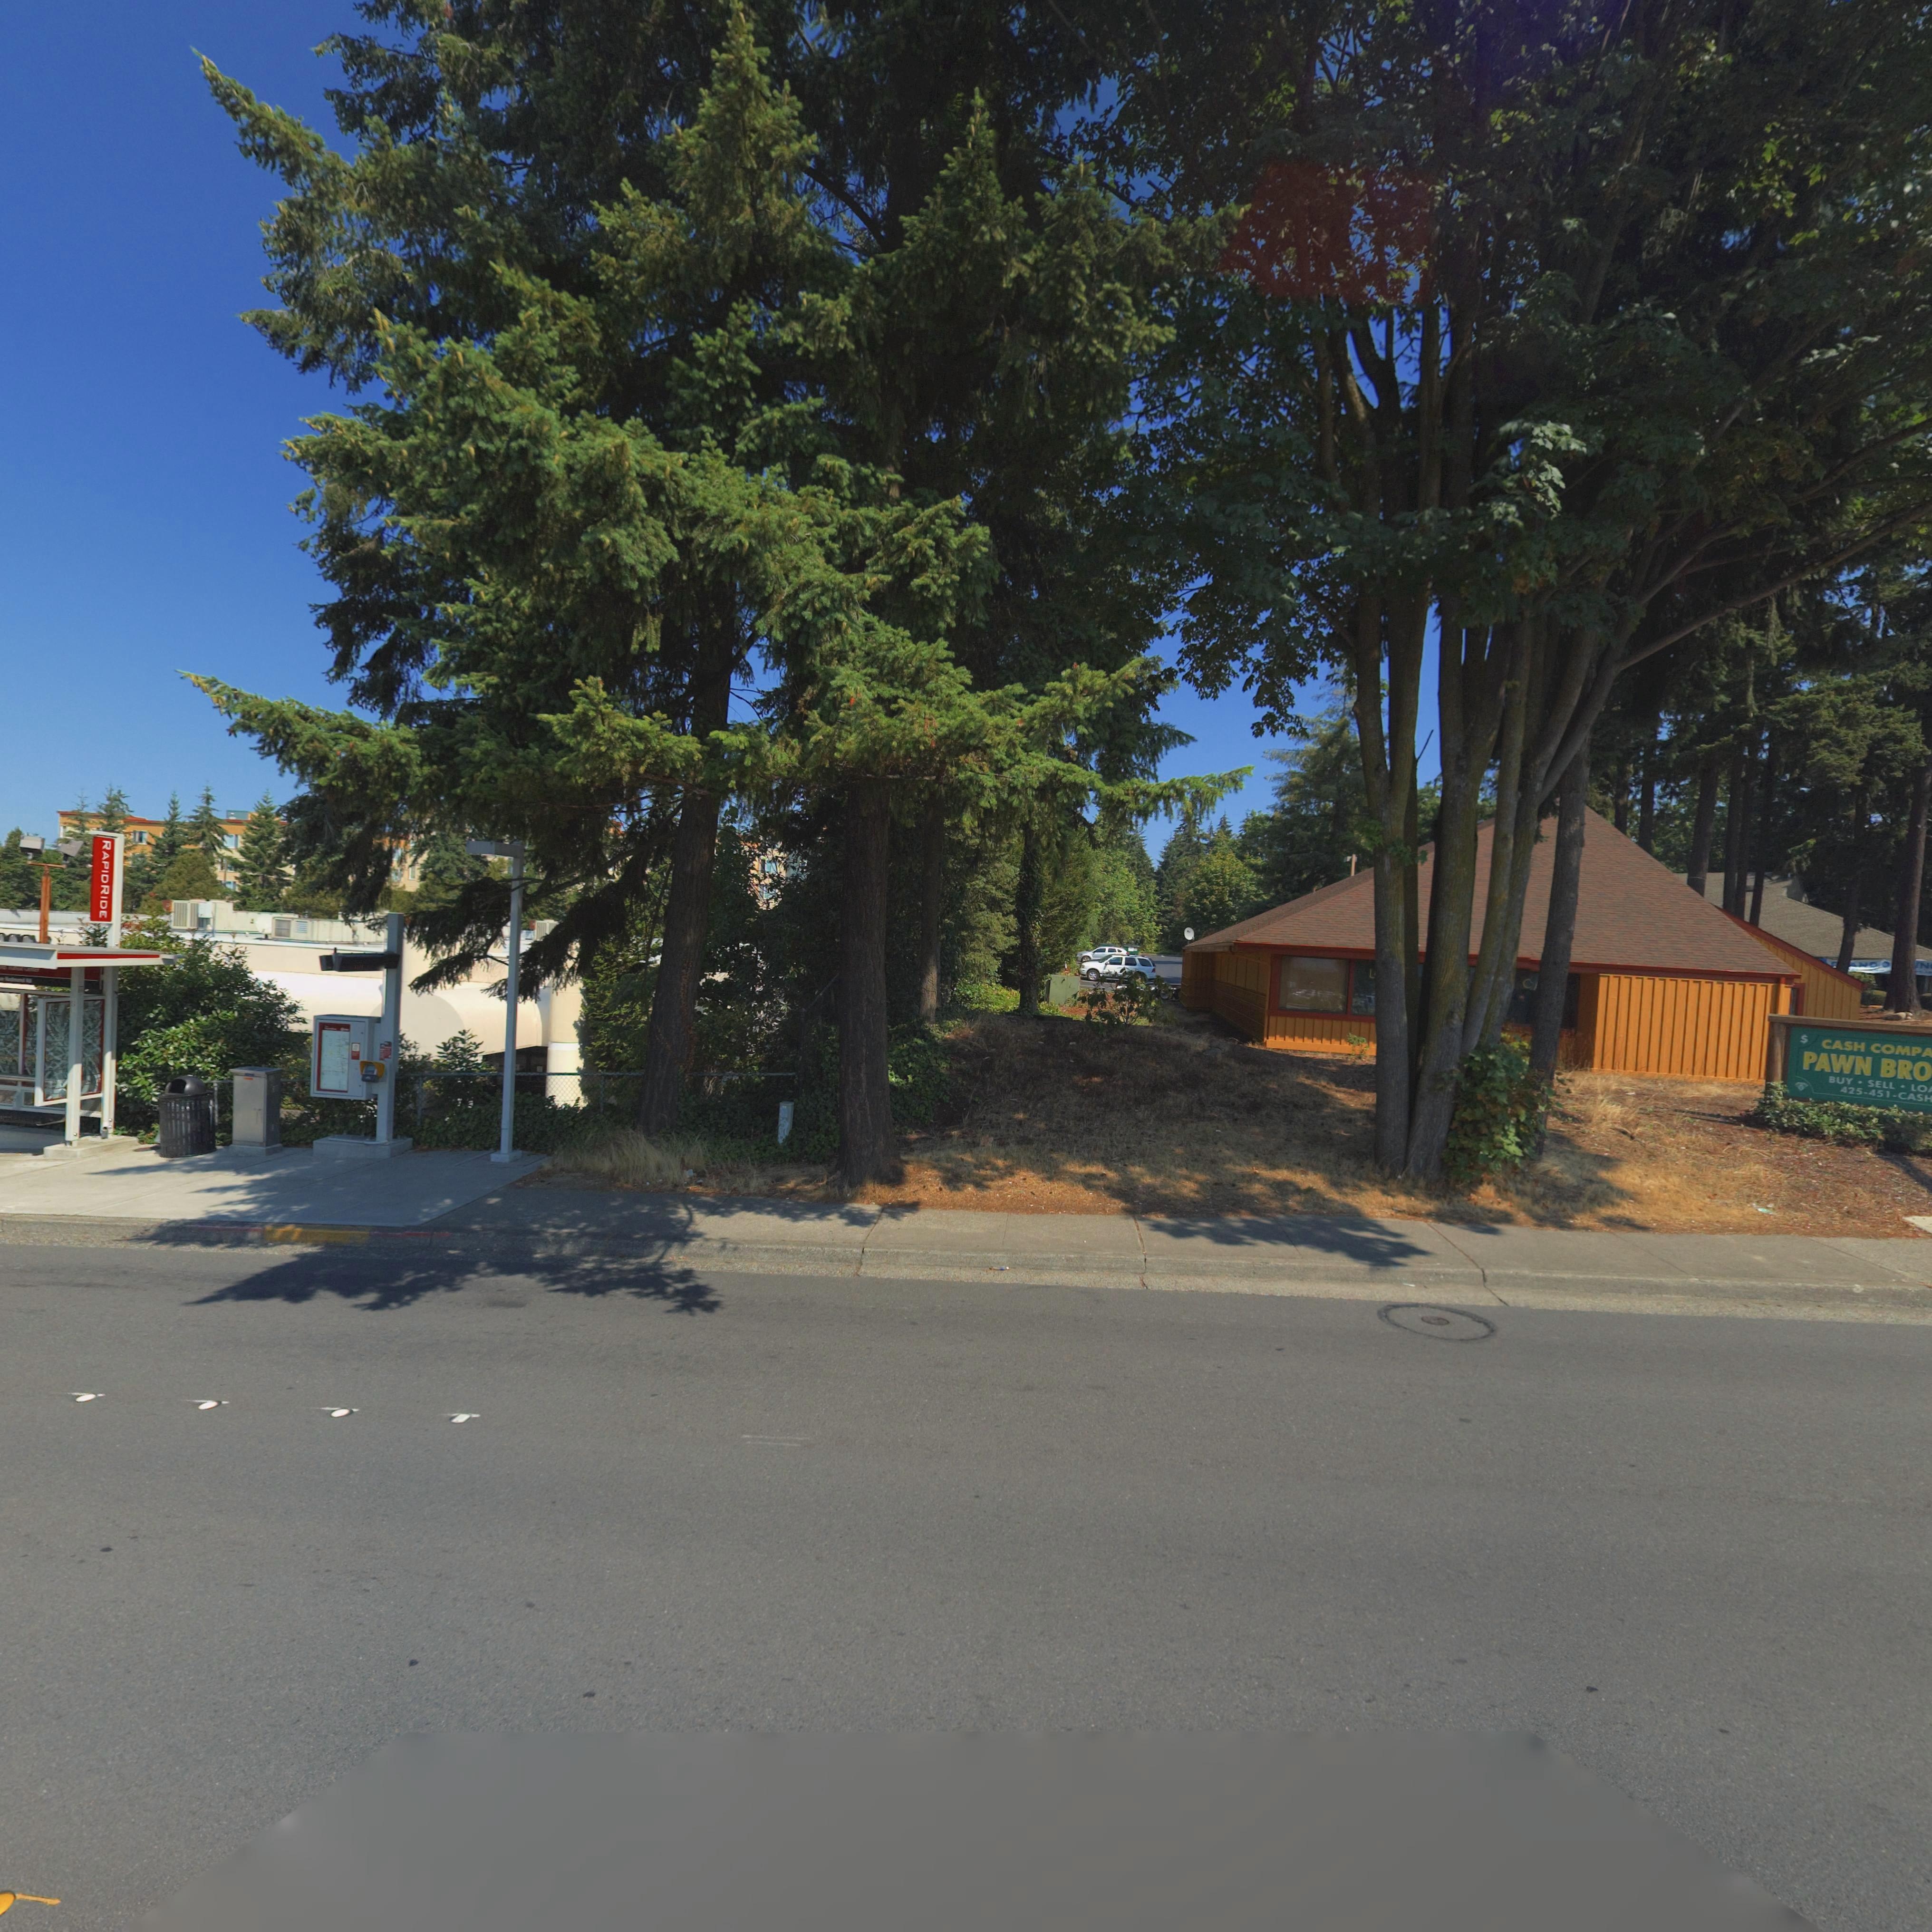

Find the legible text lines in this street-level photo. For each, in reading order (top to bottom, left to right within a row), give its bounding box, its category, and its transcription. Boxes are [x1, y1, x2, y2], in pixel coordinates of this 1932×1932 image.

[1802, 1051, 1932, 1082] BusinessName: PAWN BRO